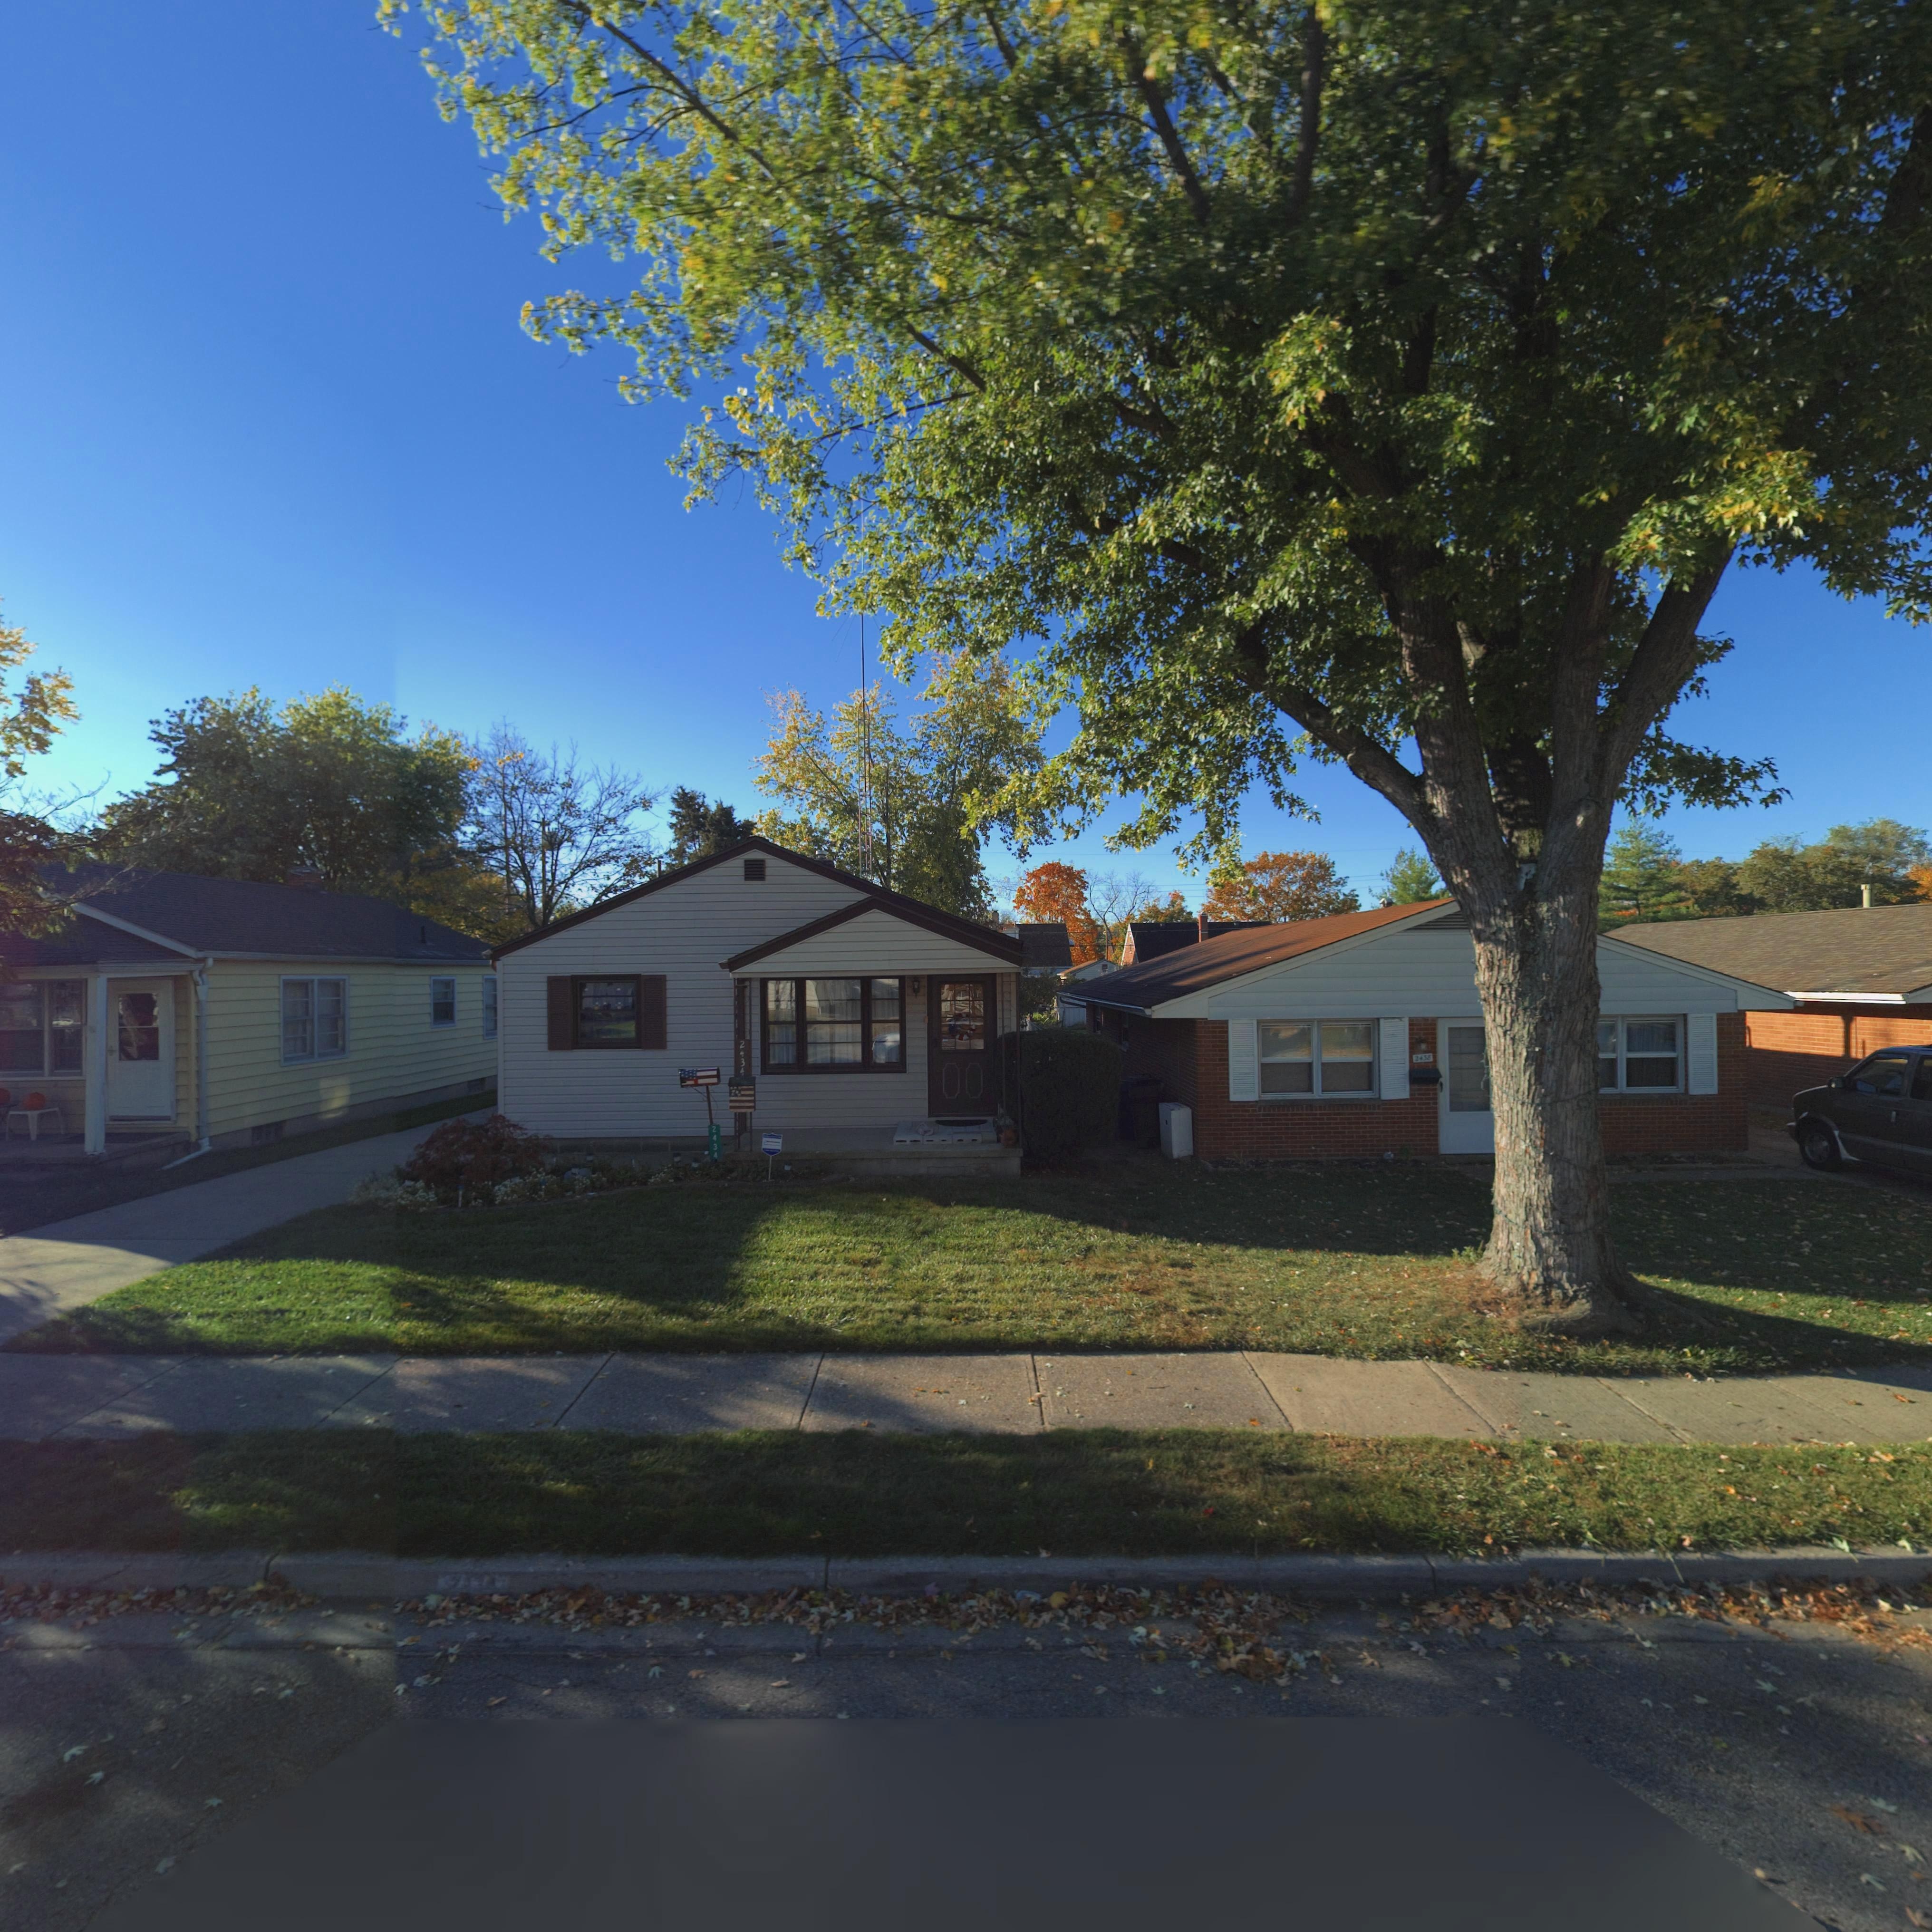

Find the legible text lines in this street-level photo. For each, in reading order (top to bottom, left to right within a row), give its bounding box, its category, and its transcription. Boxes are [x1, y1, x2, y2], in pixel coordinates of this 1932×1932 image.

[739, 1040, 745, 1076] StreetNumber: 2434
[1413, 1054, 1432, 1061] StreetNumber: 2438
[711, 1125, 718, 1159] StreetNumber: 2434